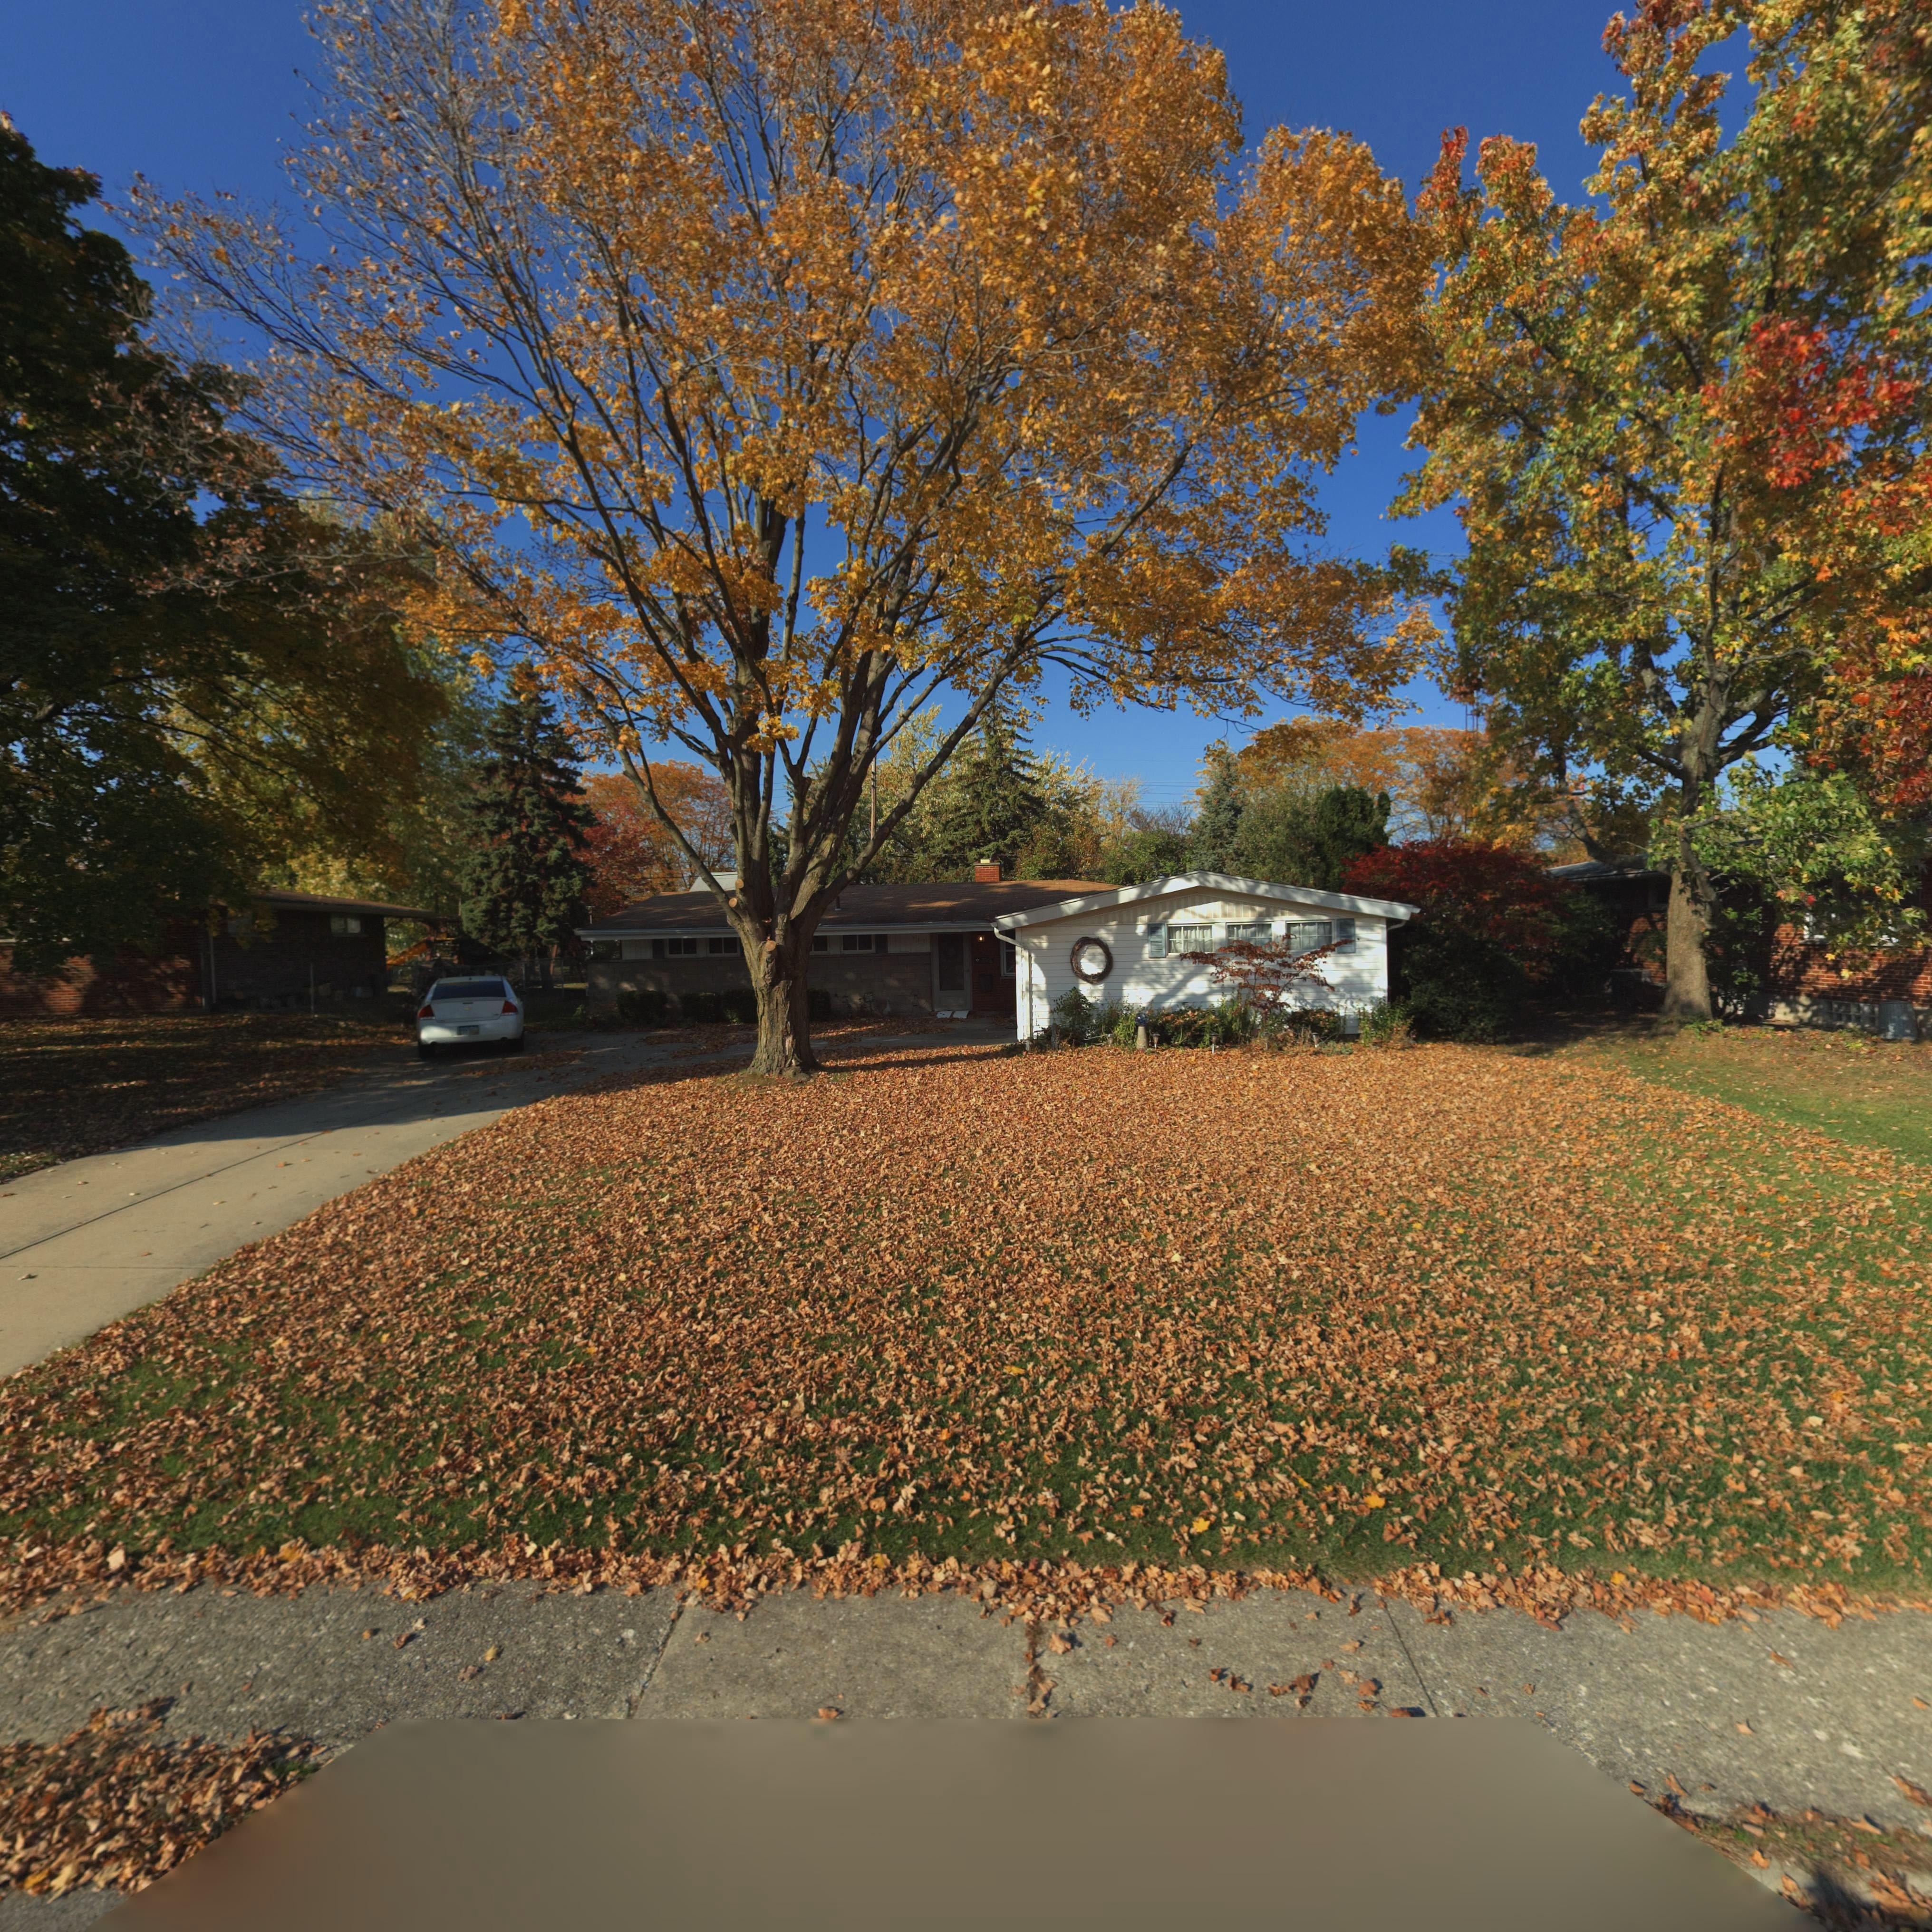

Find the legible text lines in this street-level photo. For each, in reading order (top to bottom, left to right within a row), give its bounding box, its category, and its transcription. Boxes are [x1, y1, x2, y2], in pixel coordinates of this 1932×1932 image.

[911, 936, 927, 945] StreetNumber: 717